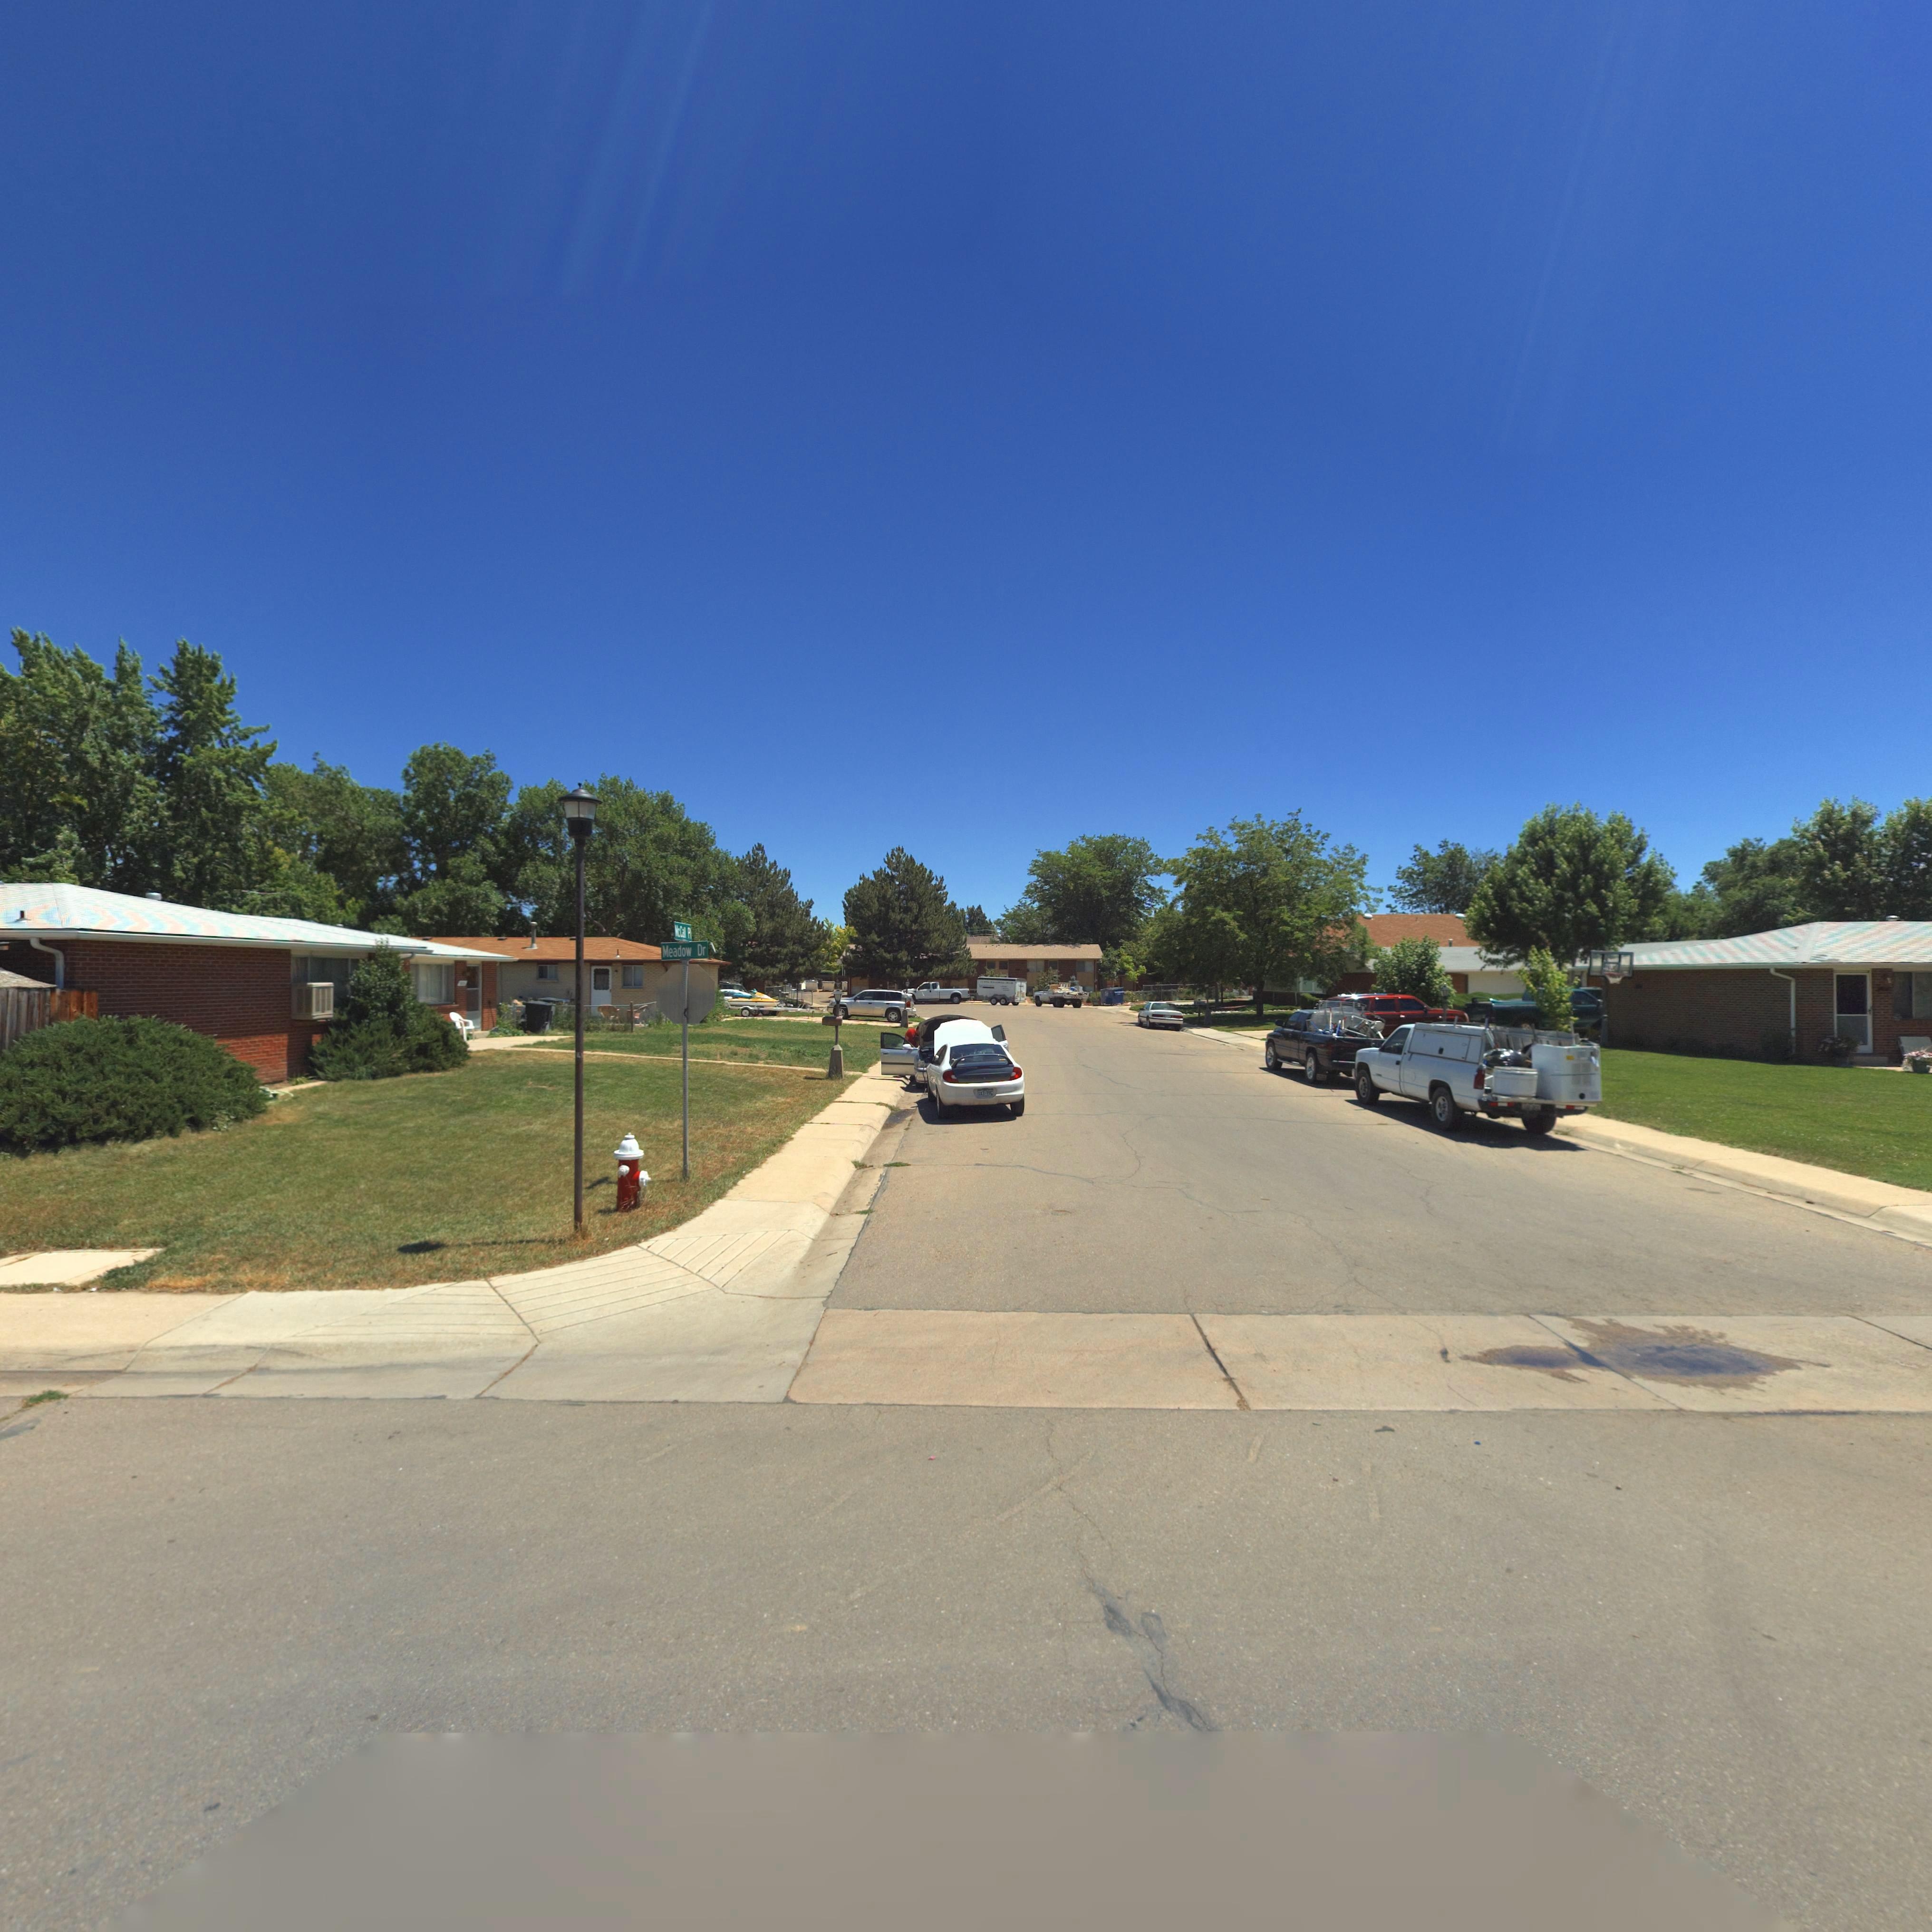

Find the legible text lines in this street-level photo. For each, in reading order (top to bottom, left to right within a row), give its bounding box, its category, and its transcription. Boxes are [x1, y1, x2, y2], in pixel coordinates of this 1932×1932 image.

[674, 924, 691, 939] StreetName: McCal Pl
[662, 944, 706, 958] StreetName: Meadow Dr